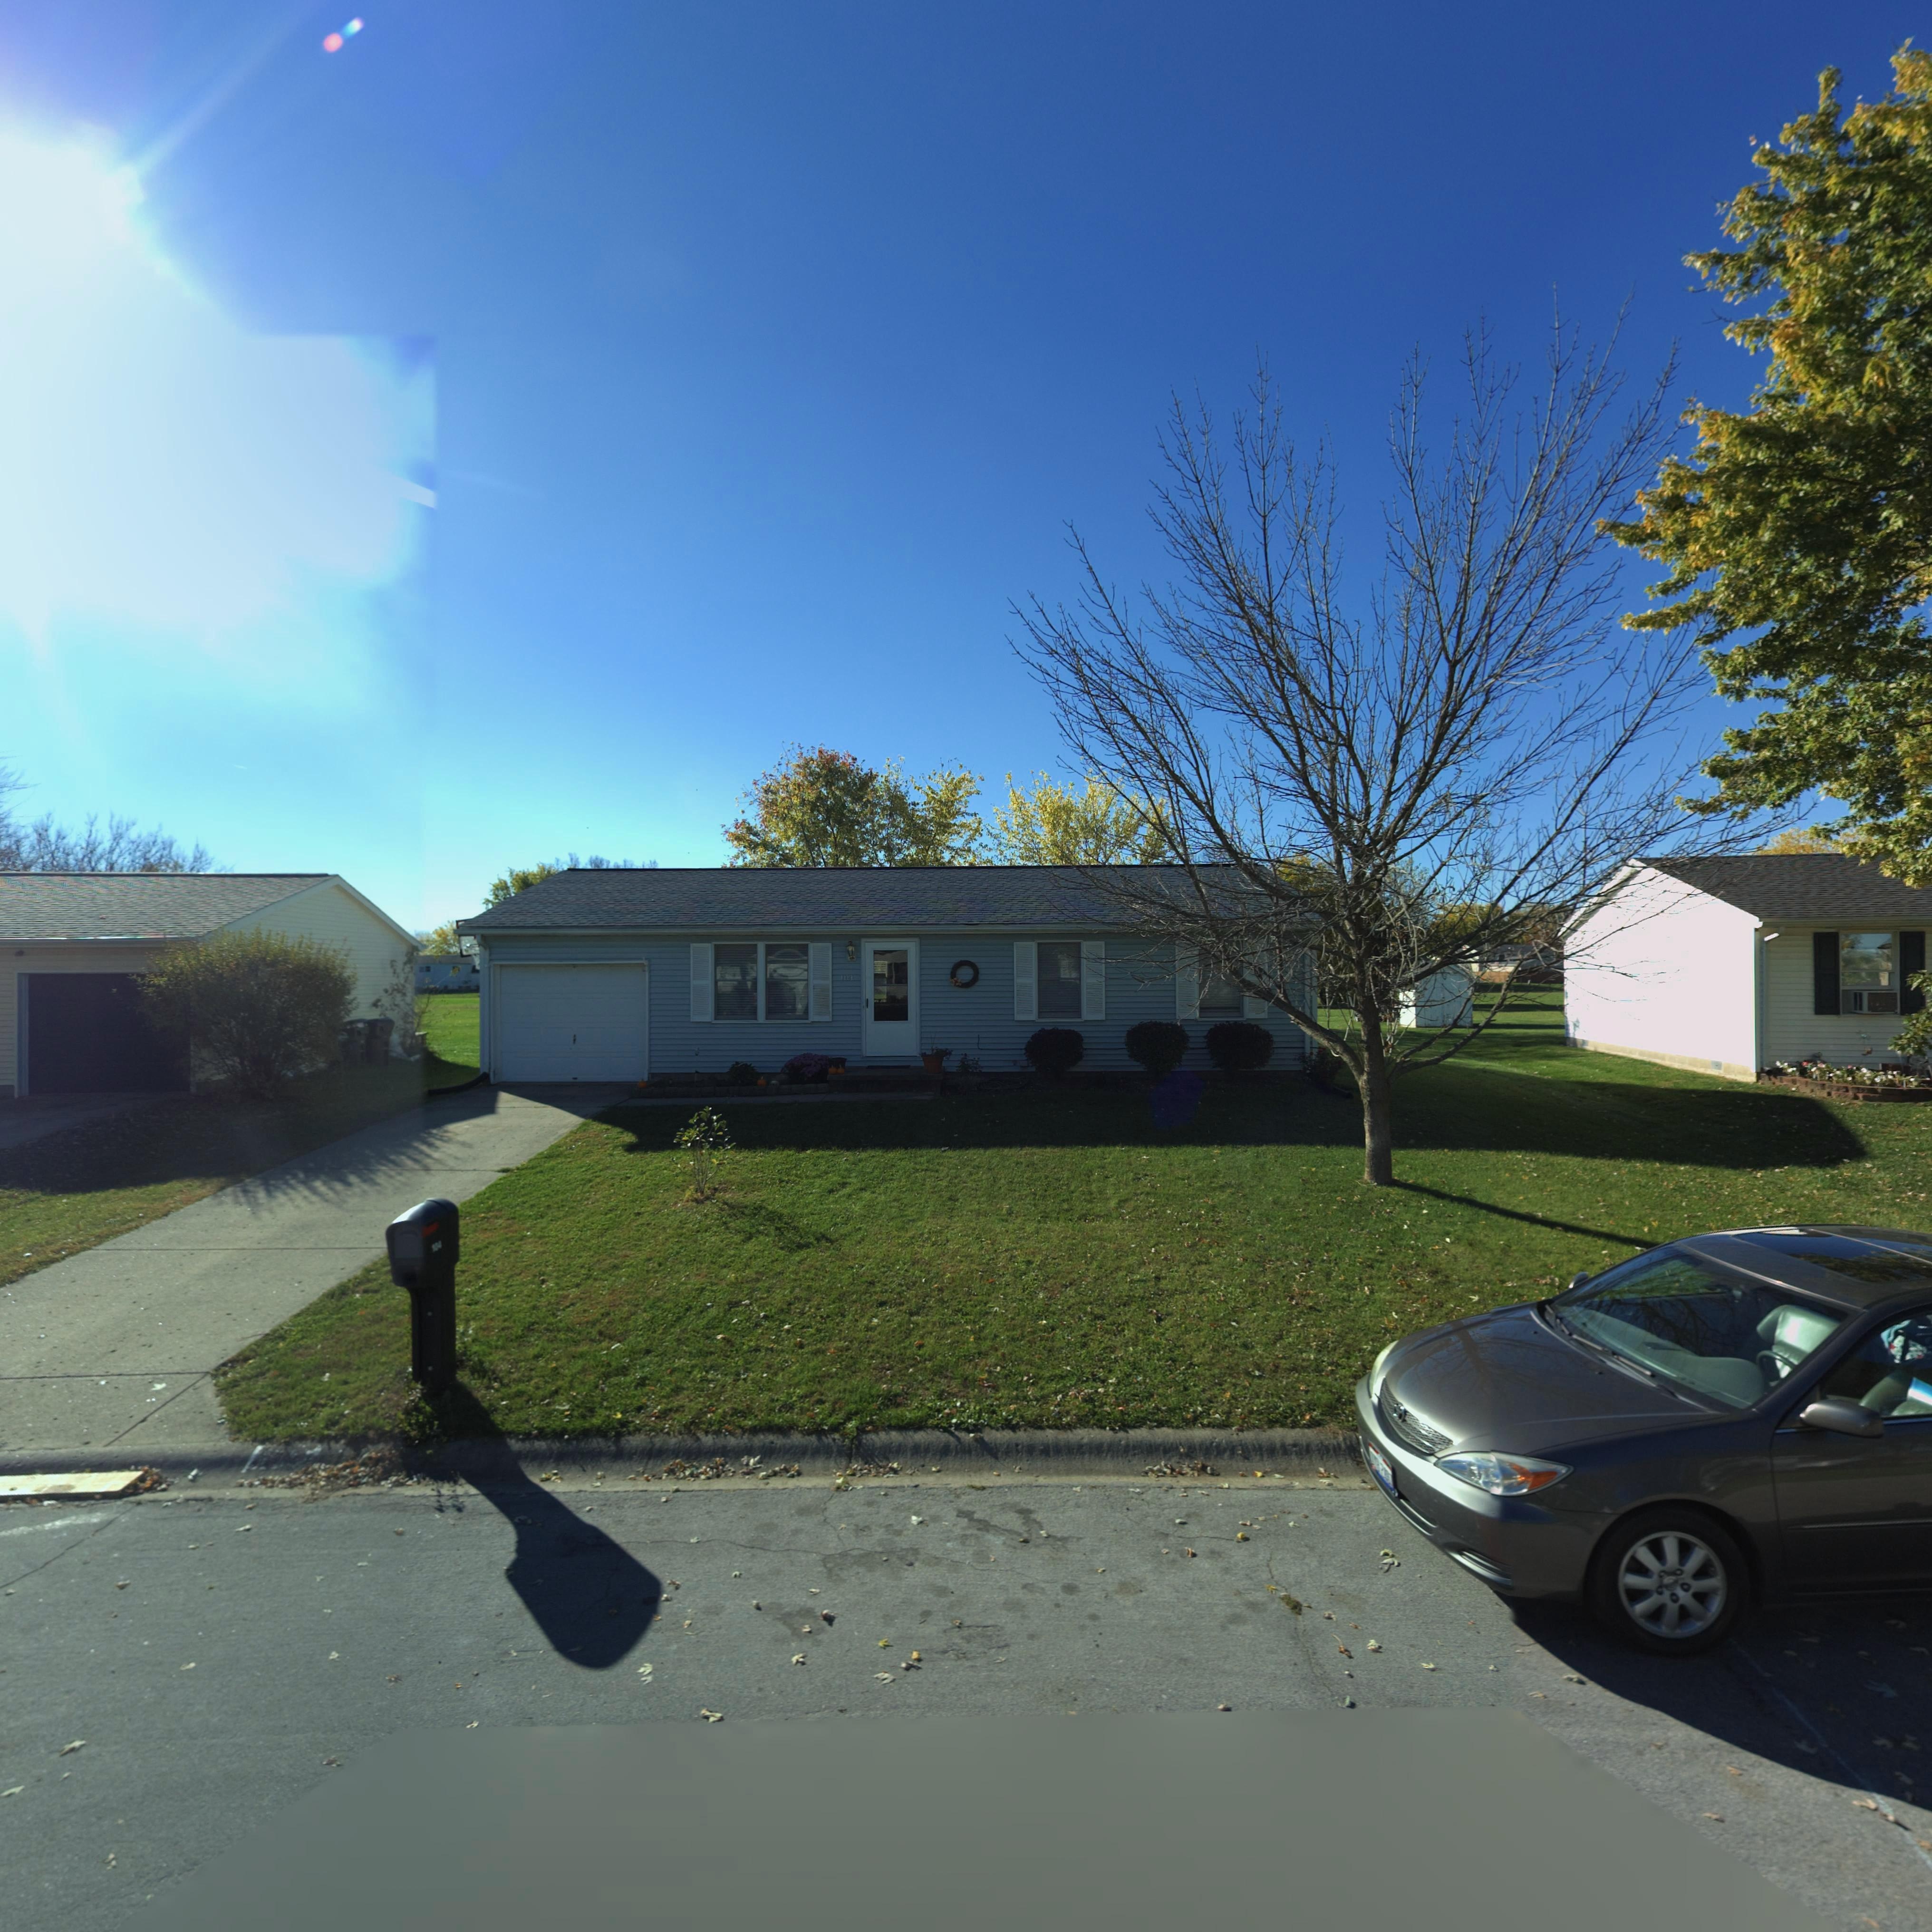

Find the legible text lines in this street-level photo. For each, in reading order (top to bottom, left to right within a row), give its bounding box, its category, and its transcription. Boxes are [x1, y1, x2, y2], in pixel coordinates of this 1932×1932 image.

[840, 975, 853, 981] StreetNumber: 104
[431, 1239, 443, 1253] StreetNumber: 104